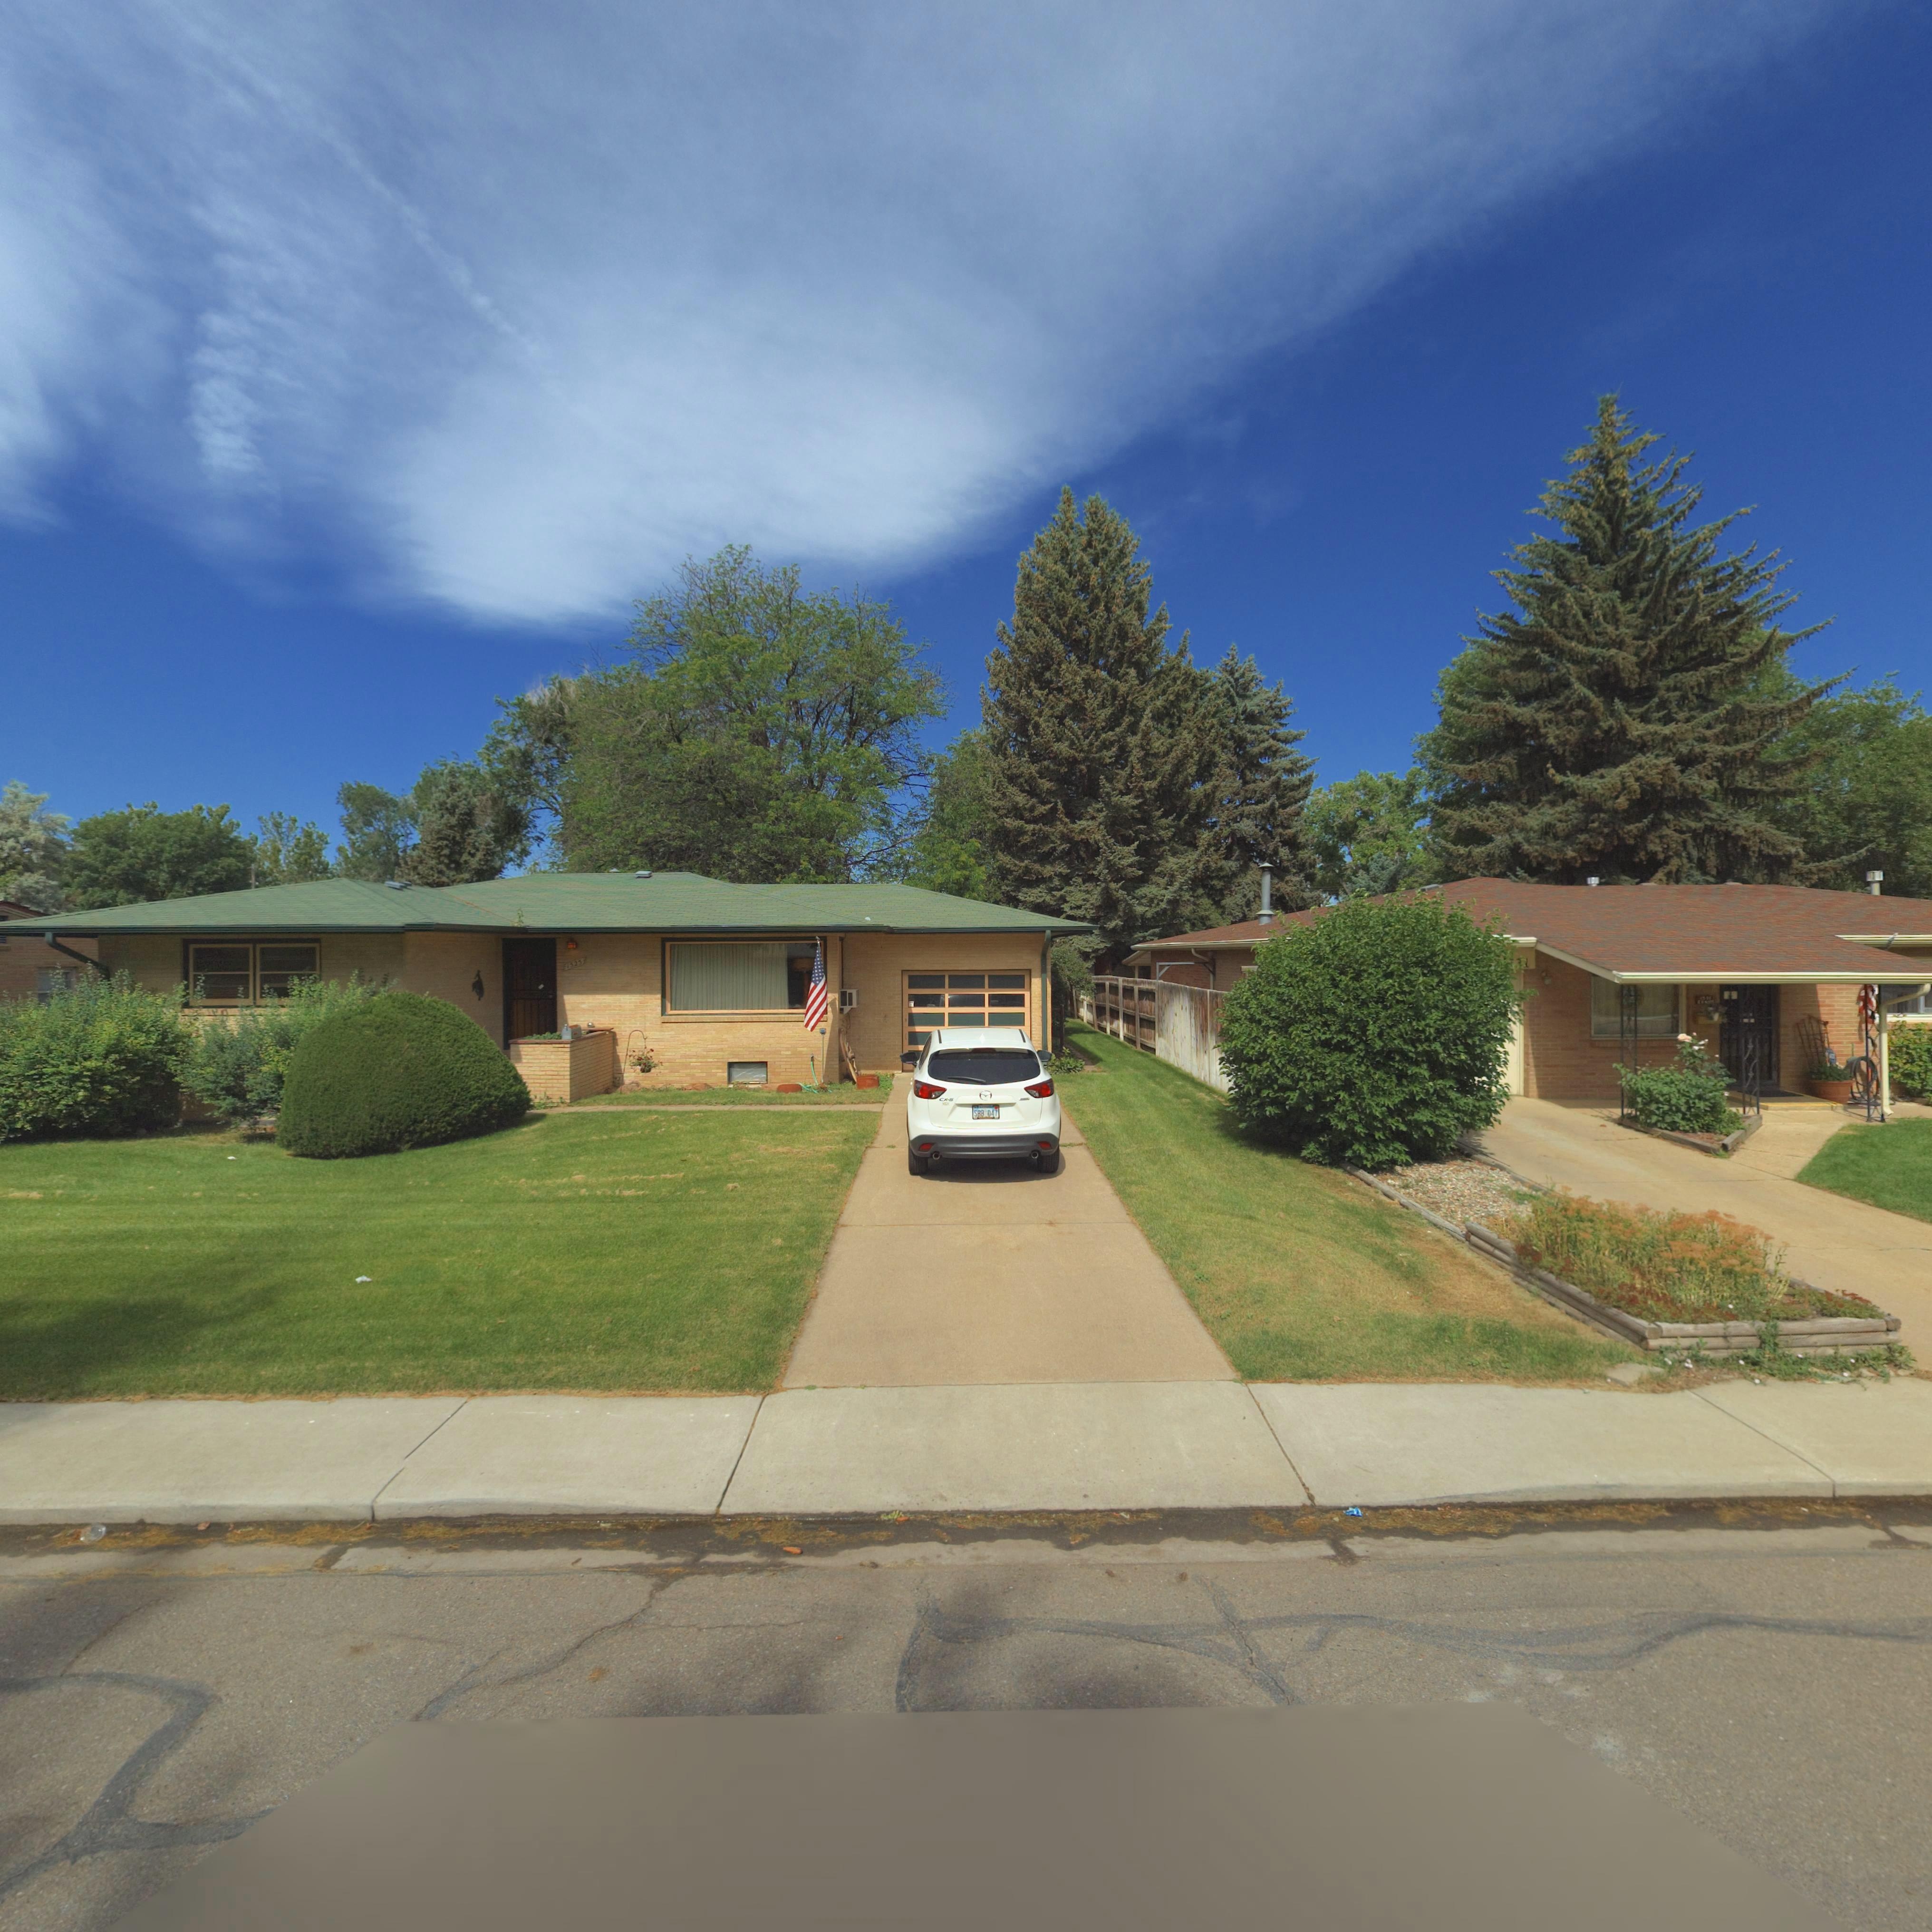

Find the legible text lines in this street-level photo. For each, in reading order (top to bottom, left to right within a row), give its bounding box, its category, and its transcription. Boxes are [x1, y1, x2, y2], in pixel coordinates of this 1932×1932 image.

[566, 959, 582, 969] StreetNumber: 15*5